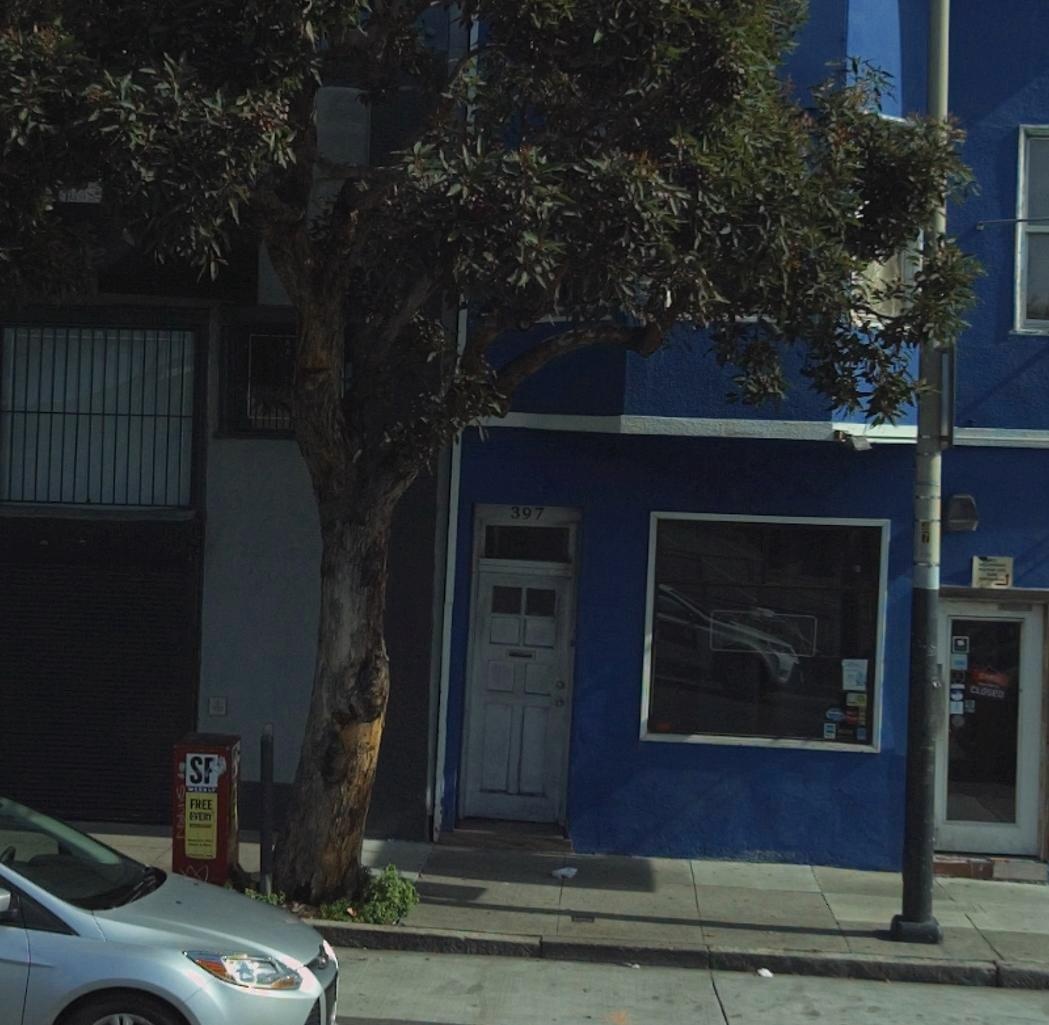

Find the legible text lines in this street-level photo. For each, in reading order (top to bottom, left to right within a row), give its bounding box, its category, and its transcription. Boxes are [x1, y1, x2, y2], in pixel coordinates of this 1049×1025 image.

[507, 502, 549, 524] StreetNumber: 397
[965, 682, 1008, 703] None: CLOSED
[188, 752, 219, 789] None: SF
[174, 783, 187, 799] None: S
[188, 795, 215, 812] None: FREE
[196, 810, 213, 823] None: ERT